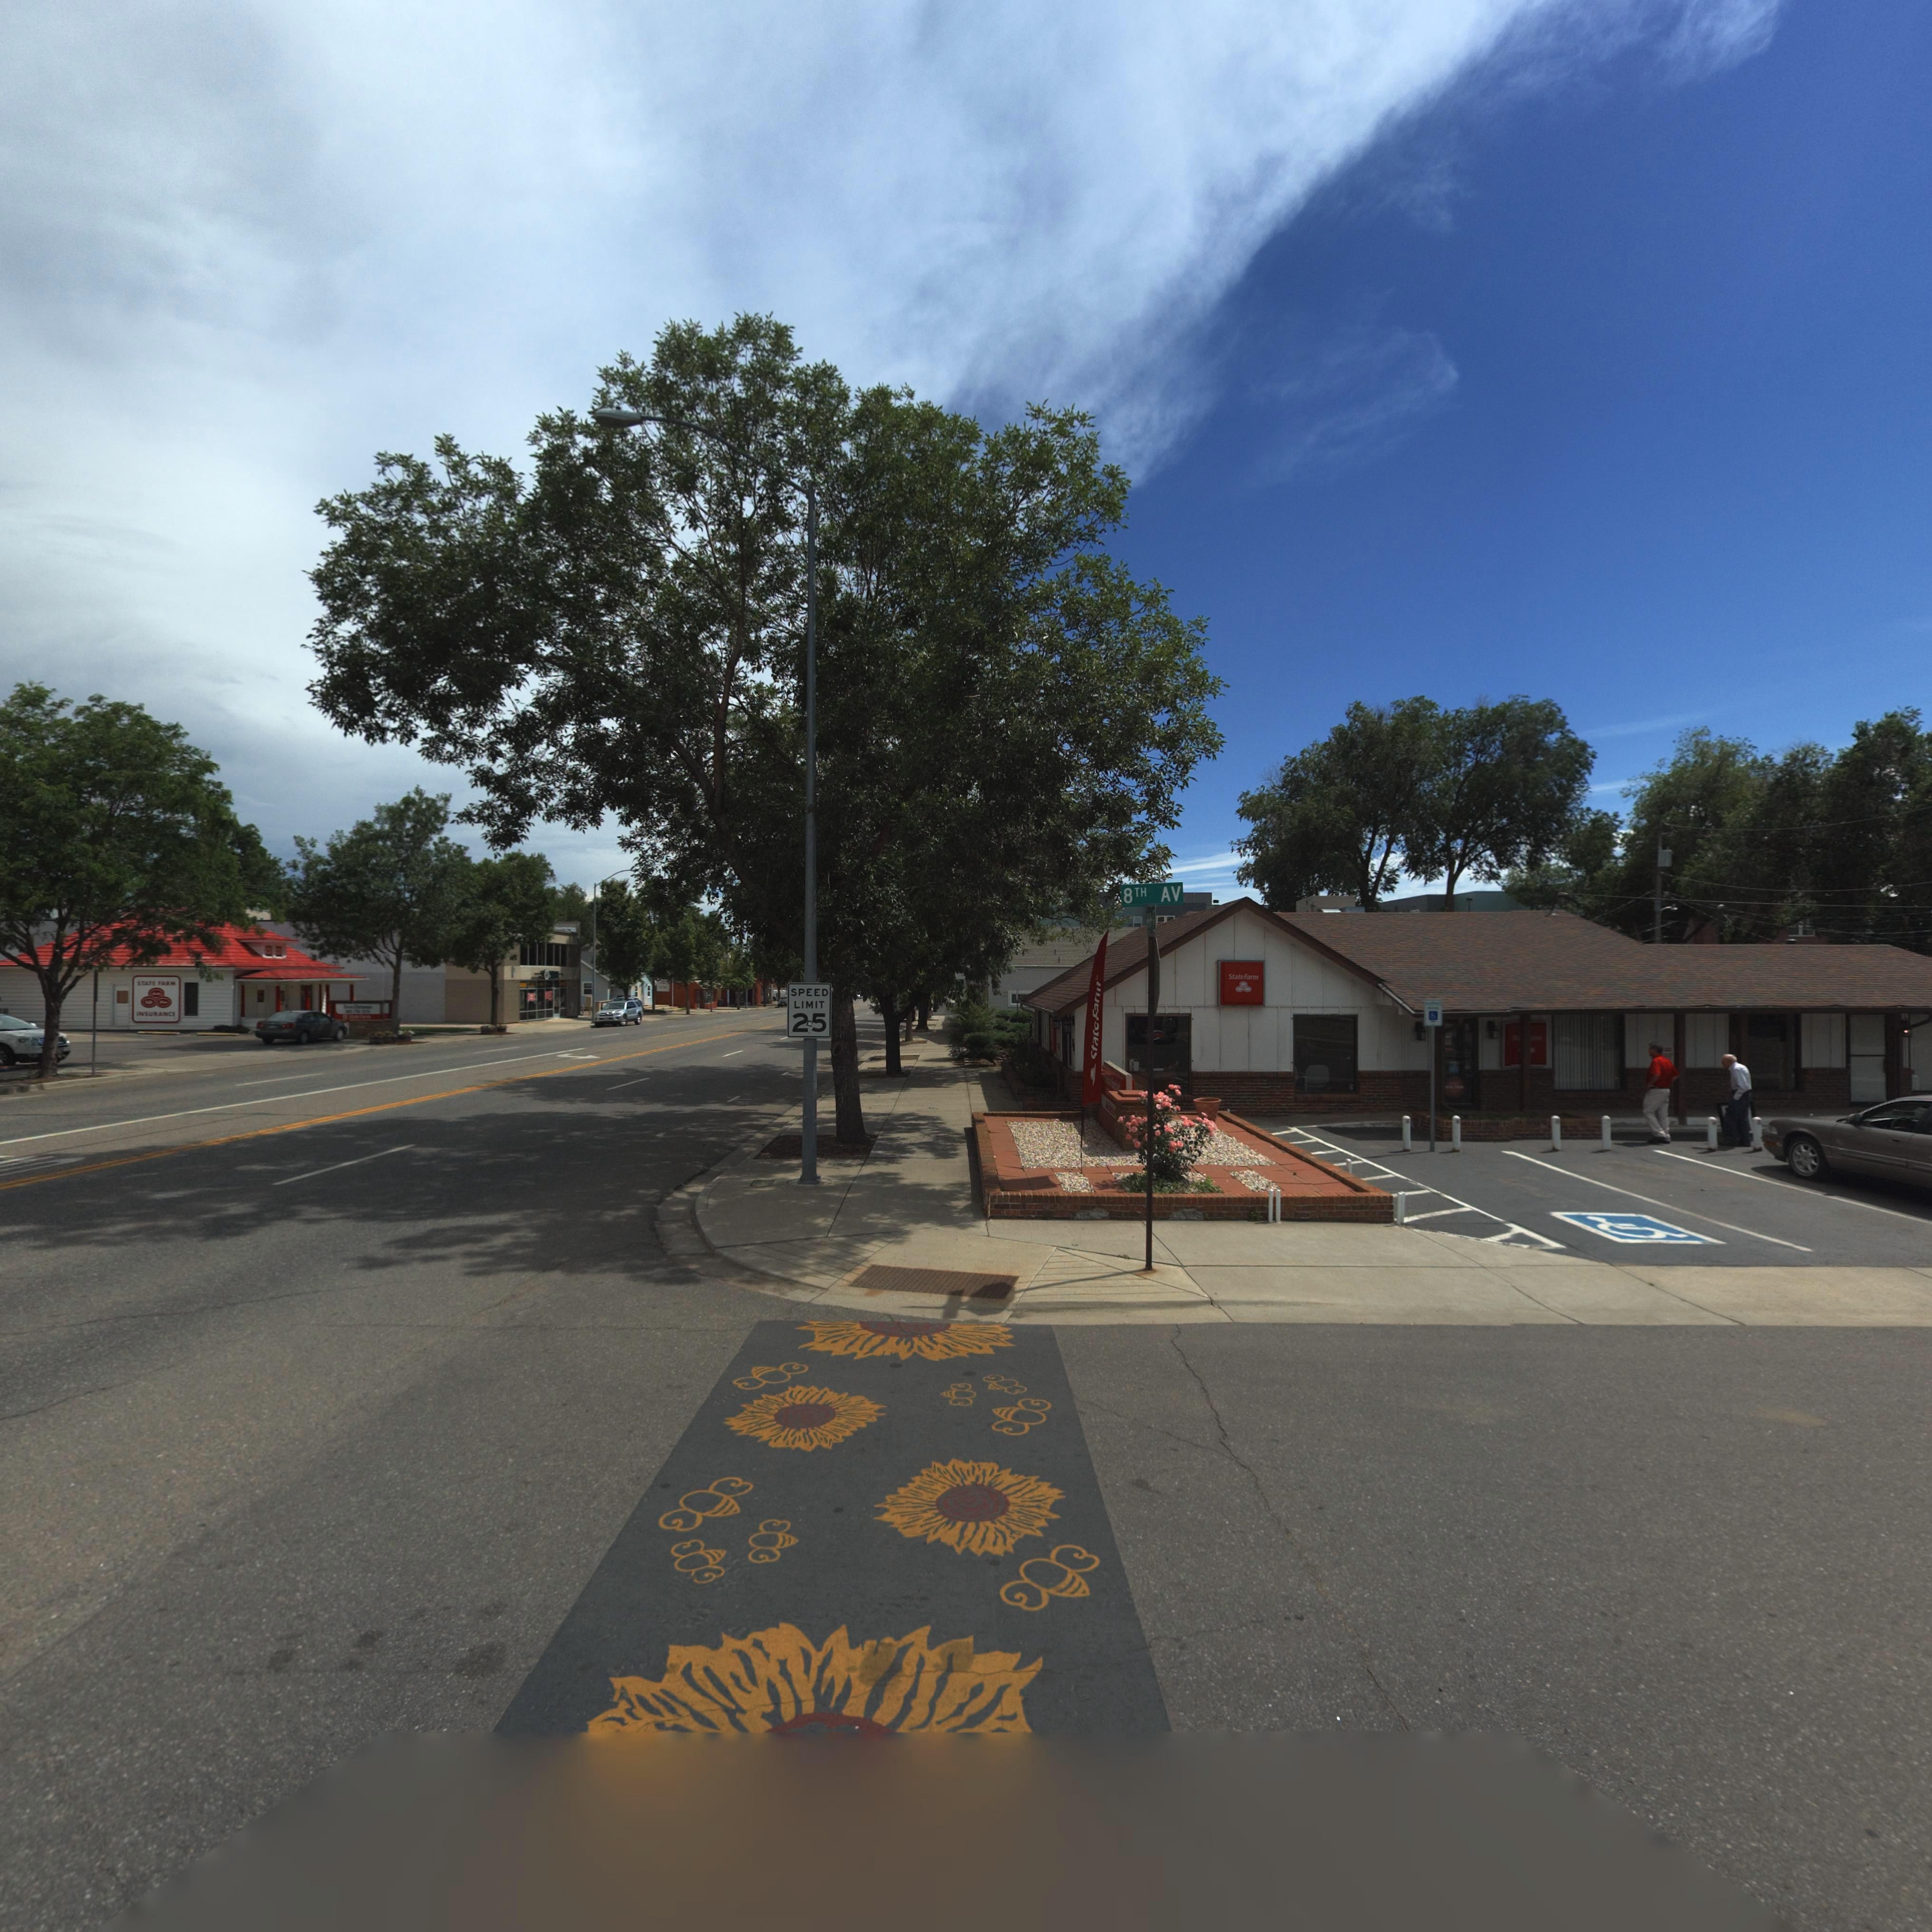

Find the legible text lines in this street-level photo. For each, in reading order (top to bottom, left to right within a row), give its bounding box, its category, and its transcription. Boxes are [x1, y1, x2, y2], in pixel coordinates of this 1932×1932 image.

[1122, 885, 1181, 904] StreetName: 8TH AV
[1227, 973, 1259, 981] BusinessName: State Farm
[137, 980, 175, 986] BusinessName: STATE FARM
[136, 1011, 175, 1017] BusinessName: INSURANCE
[348, 1013, 372, 1020] BusinessName: State Farm
[1088, 979, 1101, 1060] BusinessName: *ta** F***
[1512, 1033, 1519, 1040] BusinessName: St